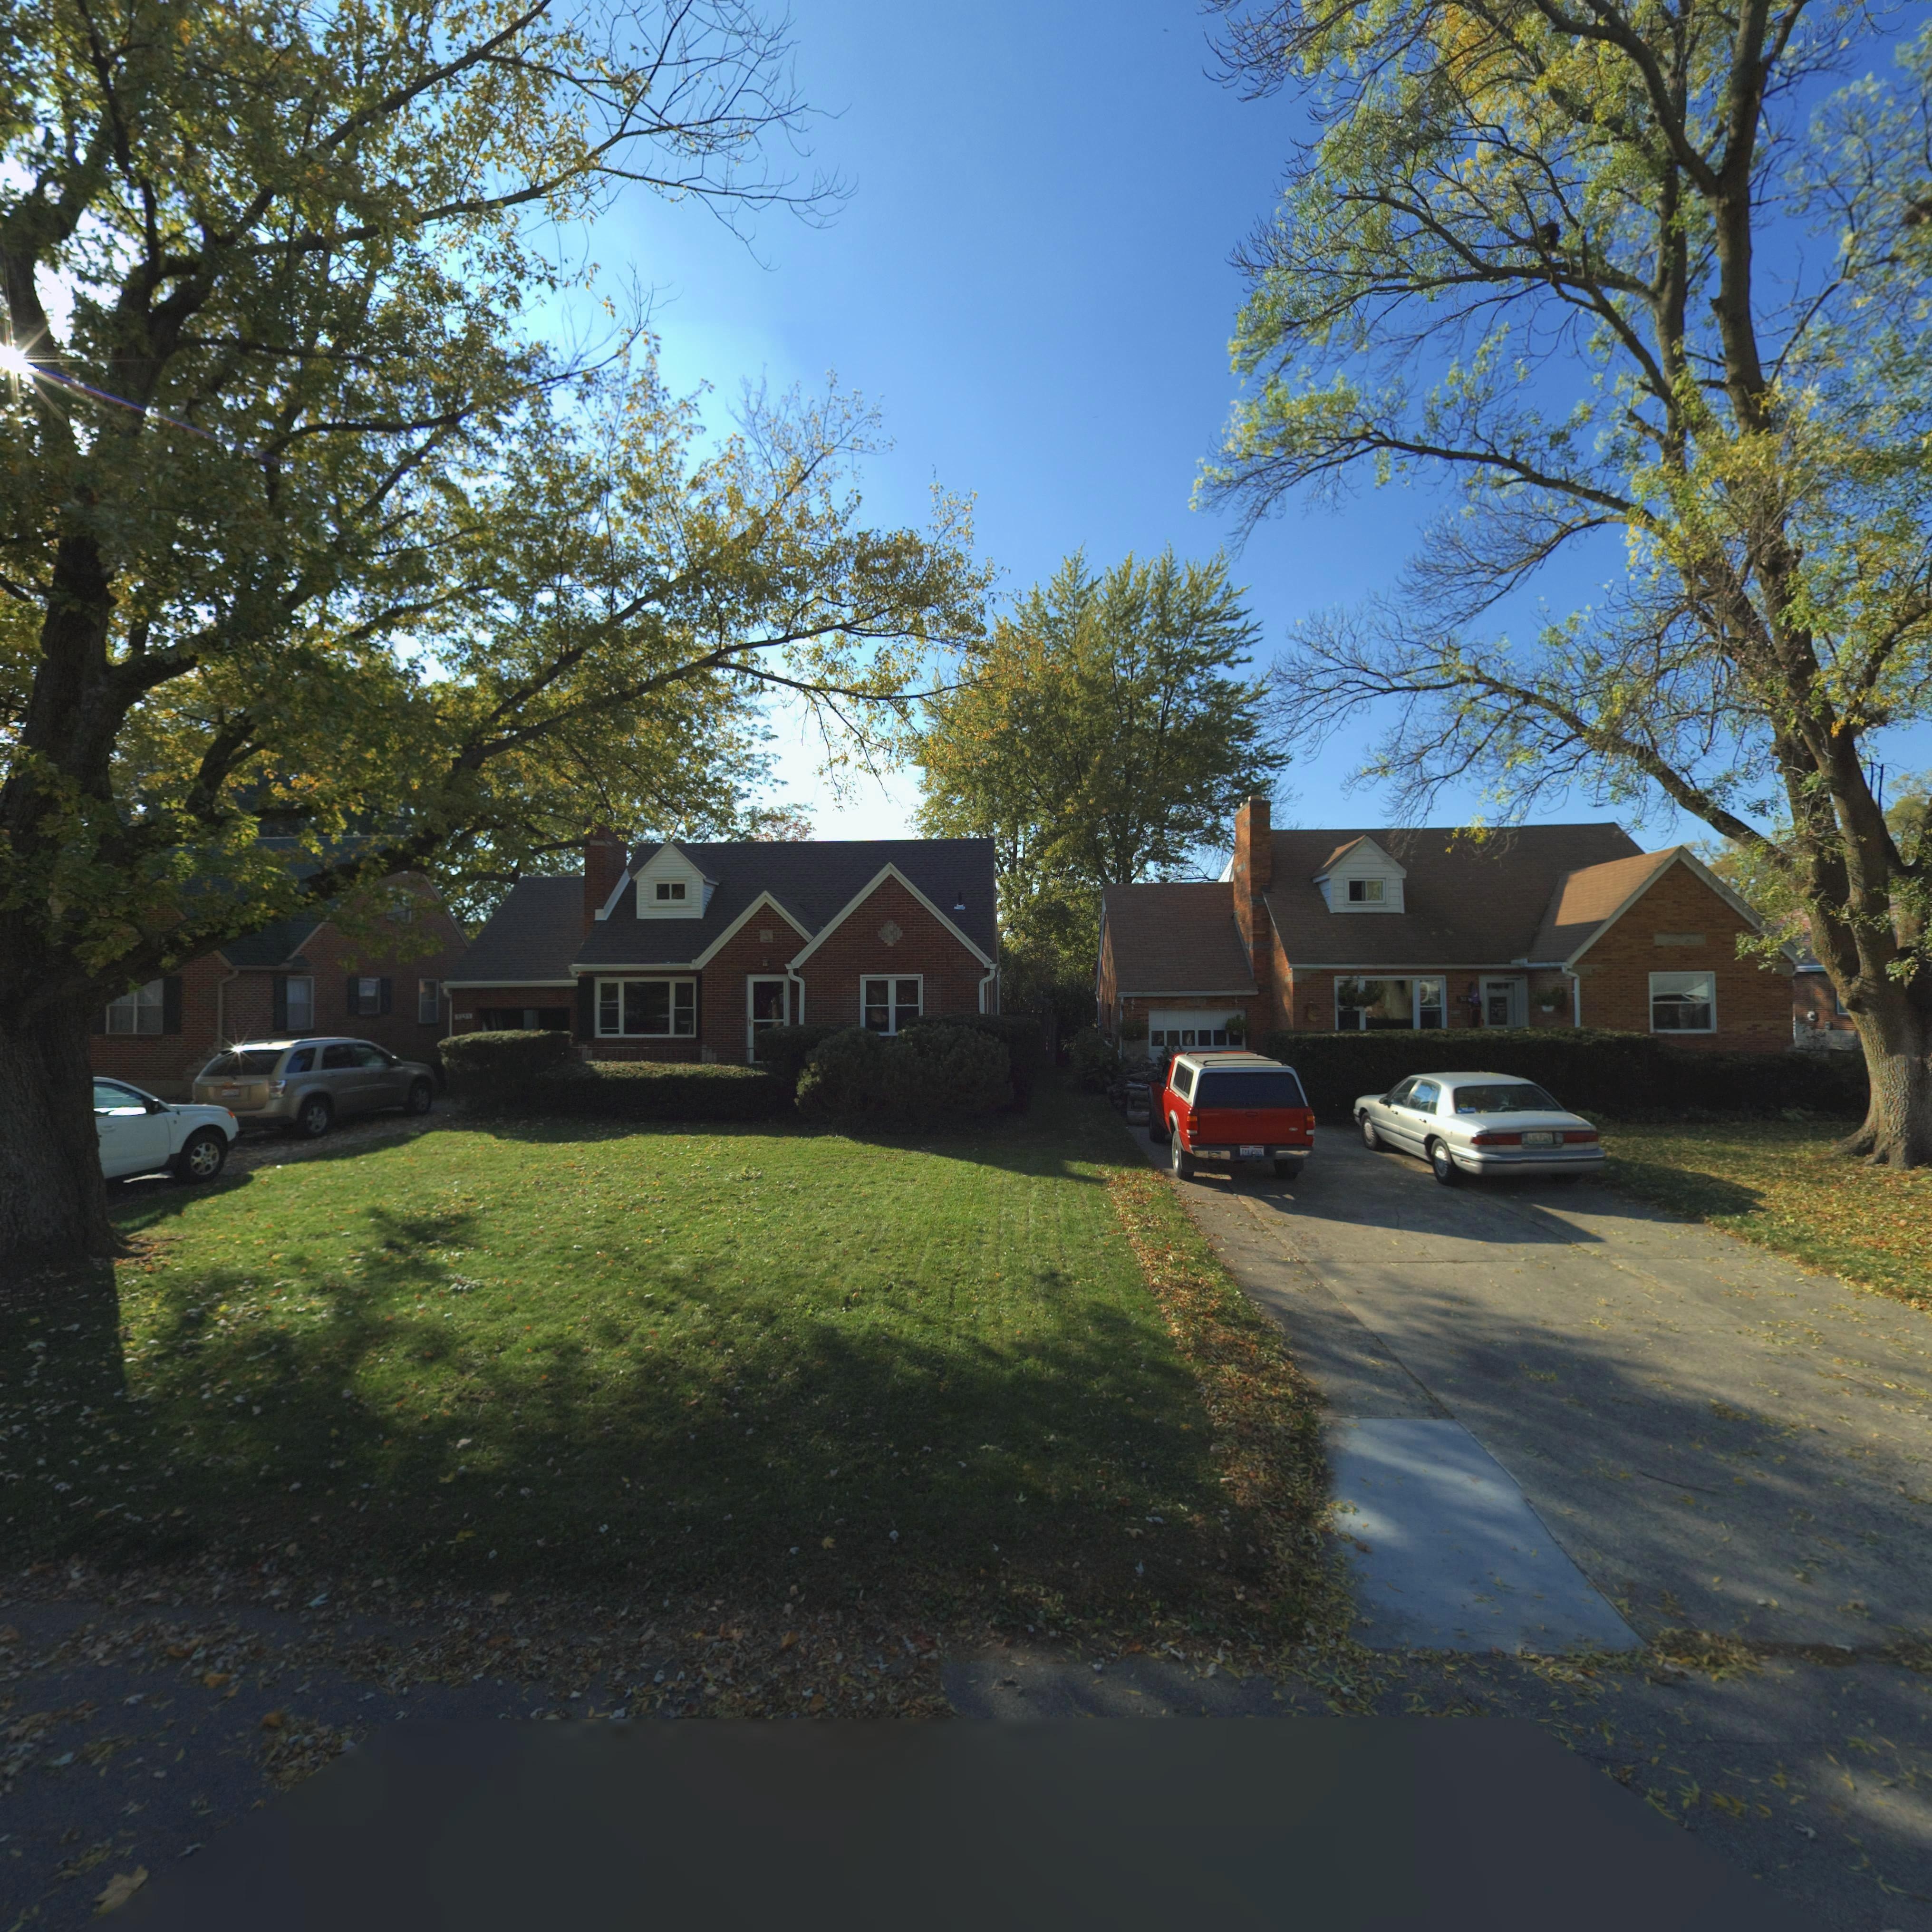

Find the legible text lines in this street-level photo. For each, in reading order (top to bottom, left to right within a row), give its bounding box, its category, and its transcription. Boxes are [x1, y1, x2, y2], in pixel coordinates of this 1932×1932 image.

[1459, 996, 1468, 1002] StreetNumber: 3*
[455, 1014, 471, 1020] StreetNumber: 3233